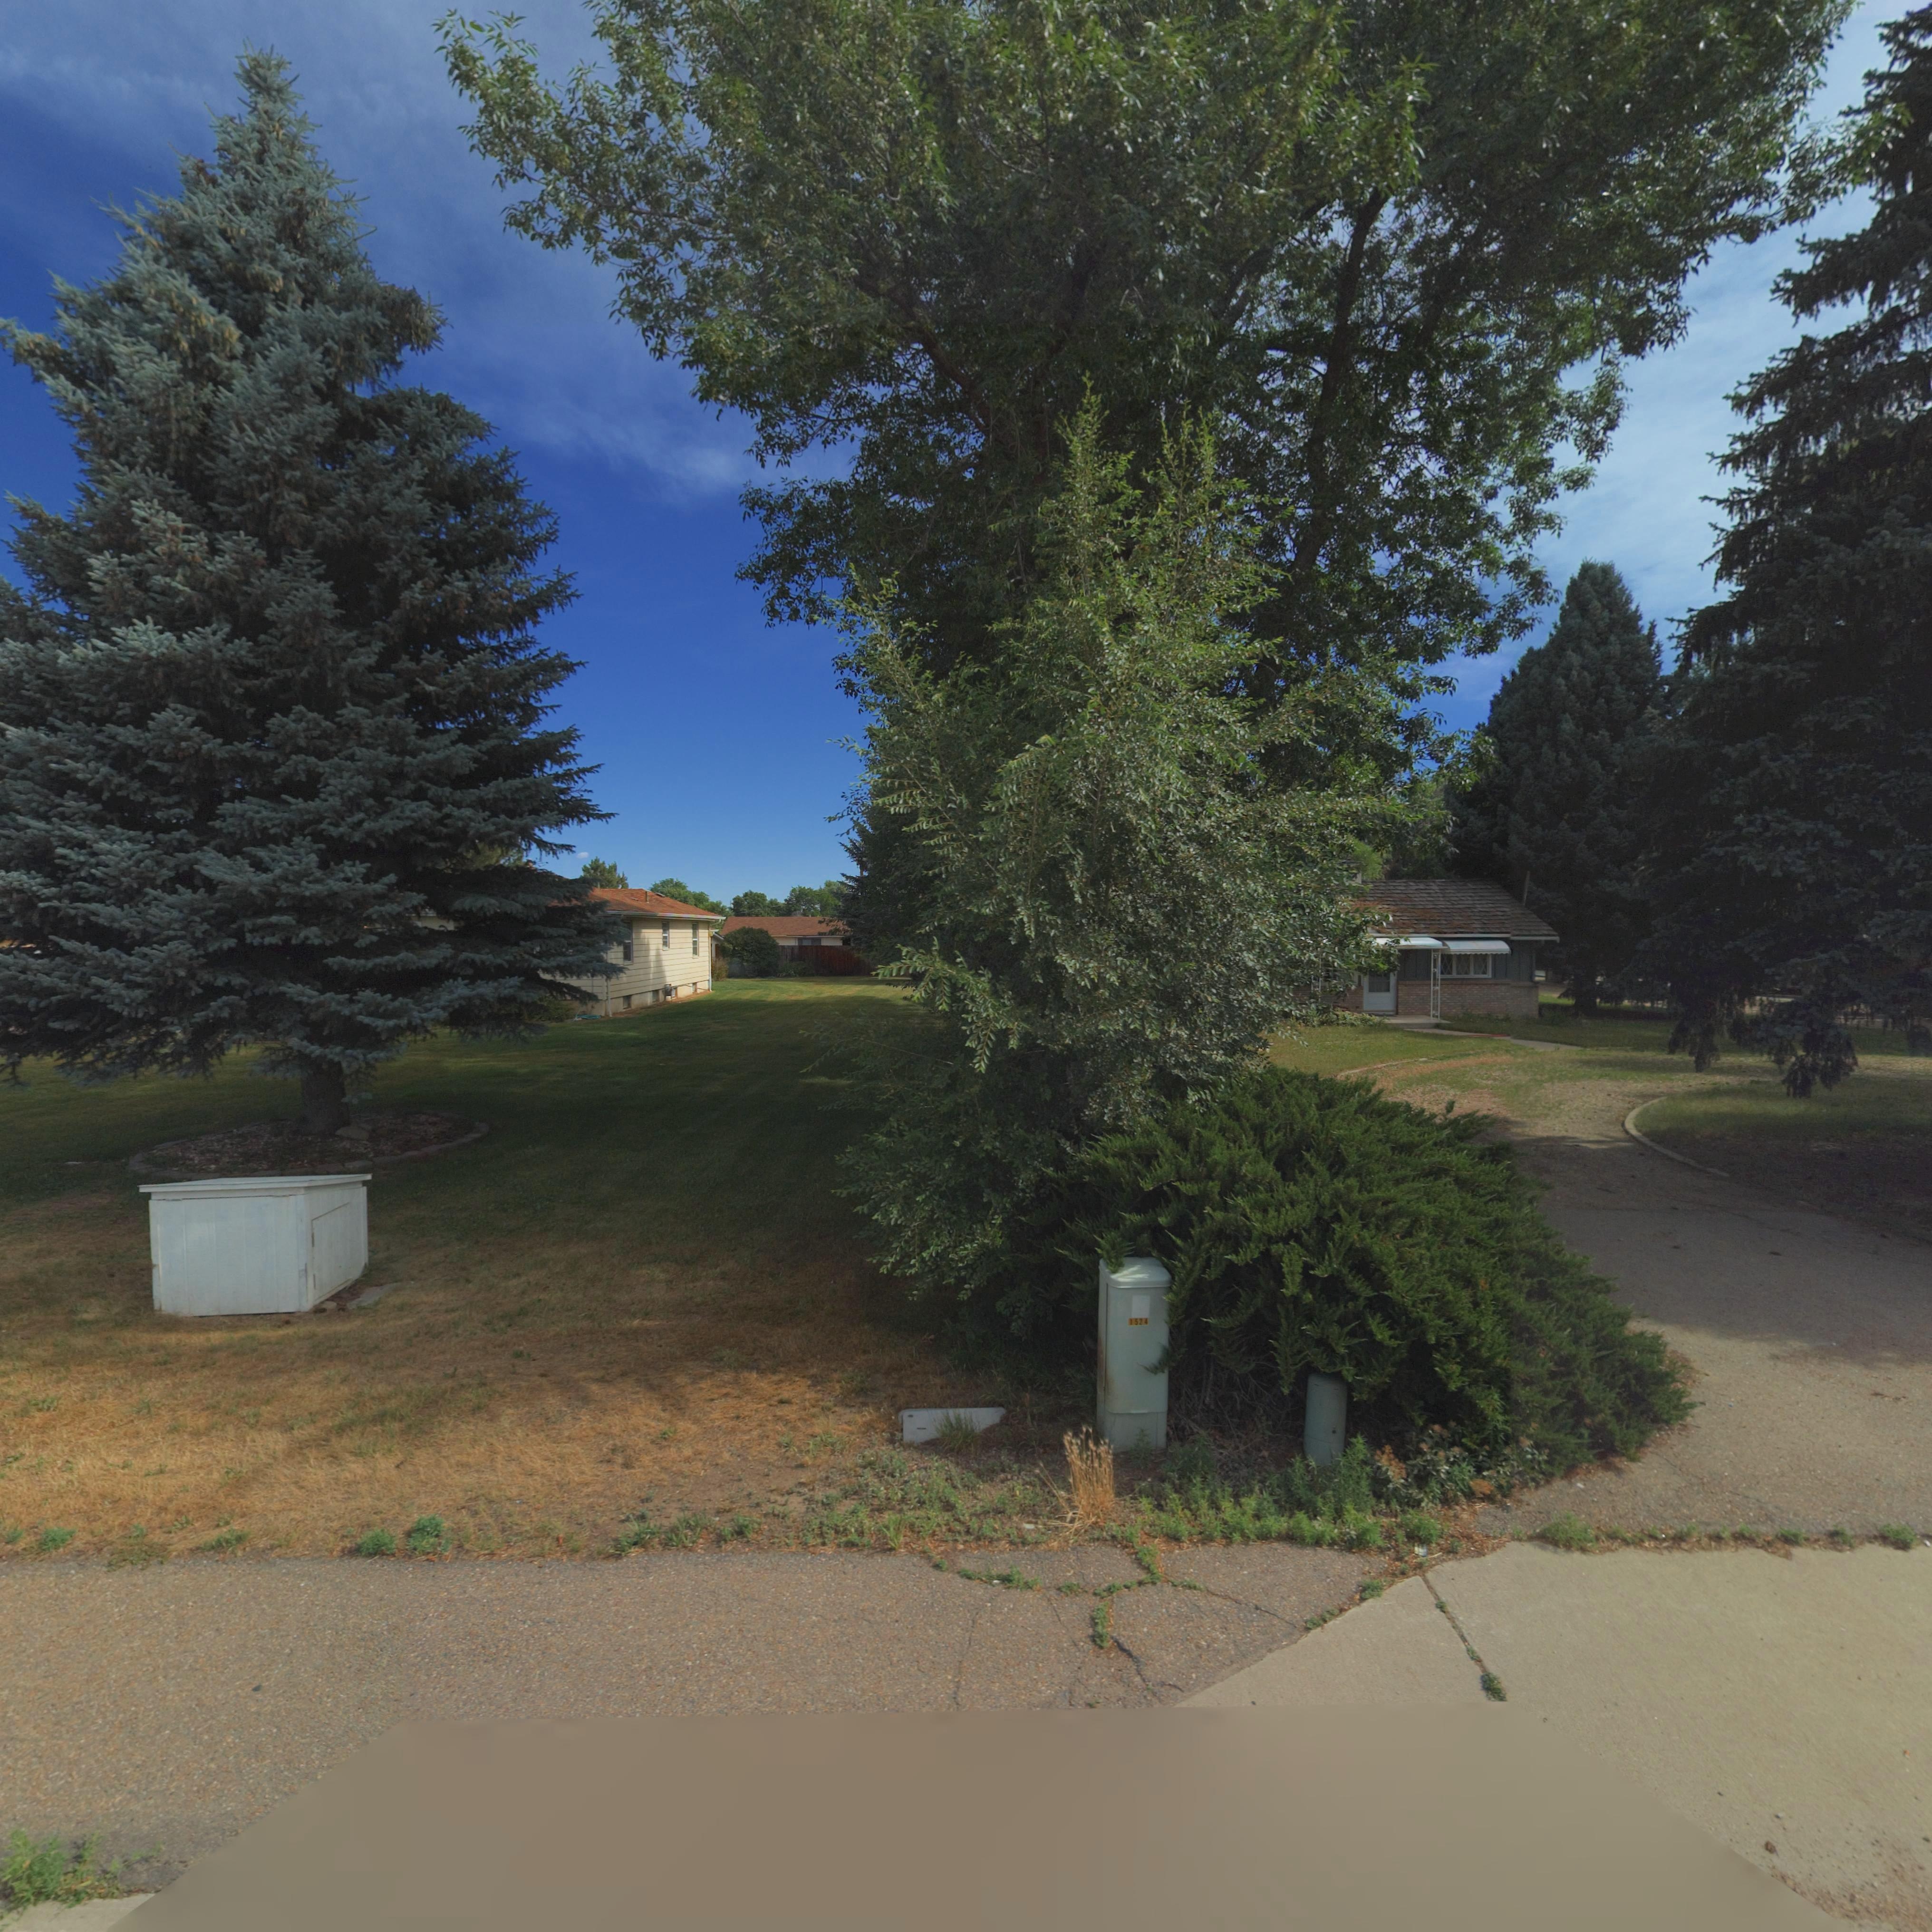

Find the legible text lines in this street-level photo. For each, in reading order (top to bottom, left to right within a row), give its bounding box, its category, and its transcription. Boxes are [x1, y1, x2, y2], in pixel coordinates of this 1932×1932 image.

[1129, 1318, 1148, 1325] StreetNumber: 1524